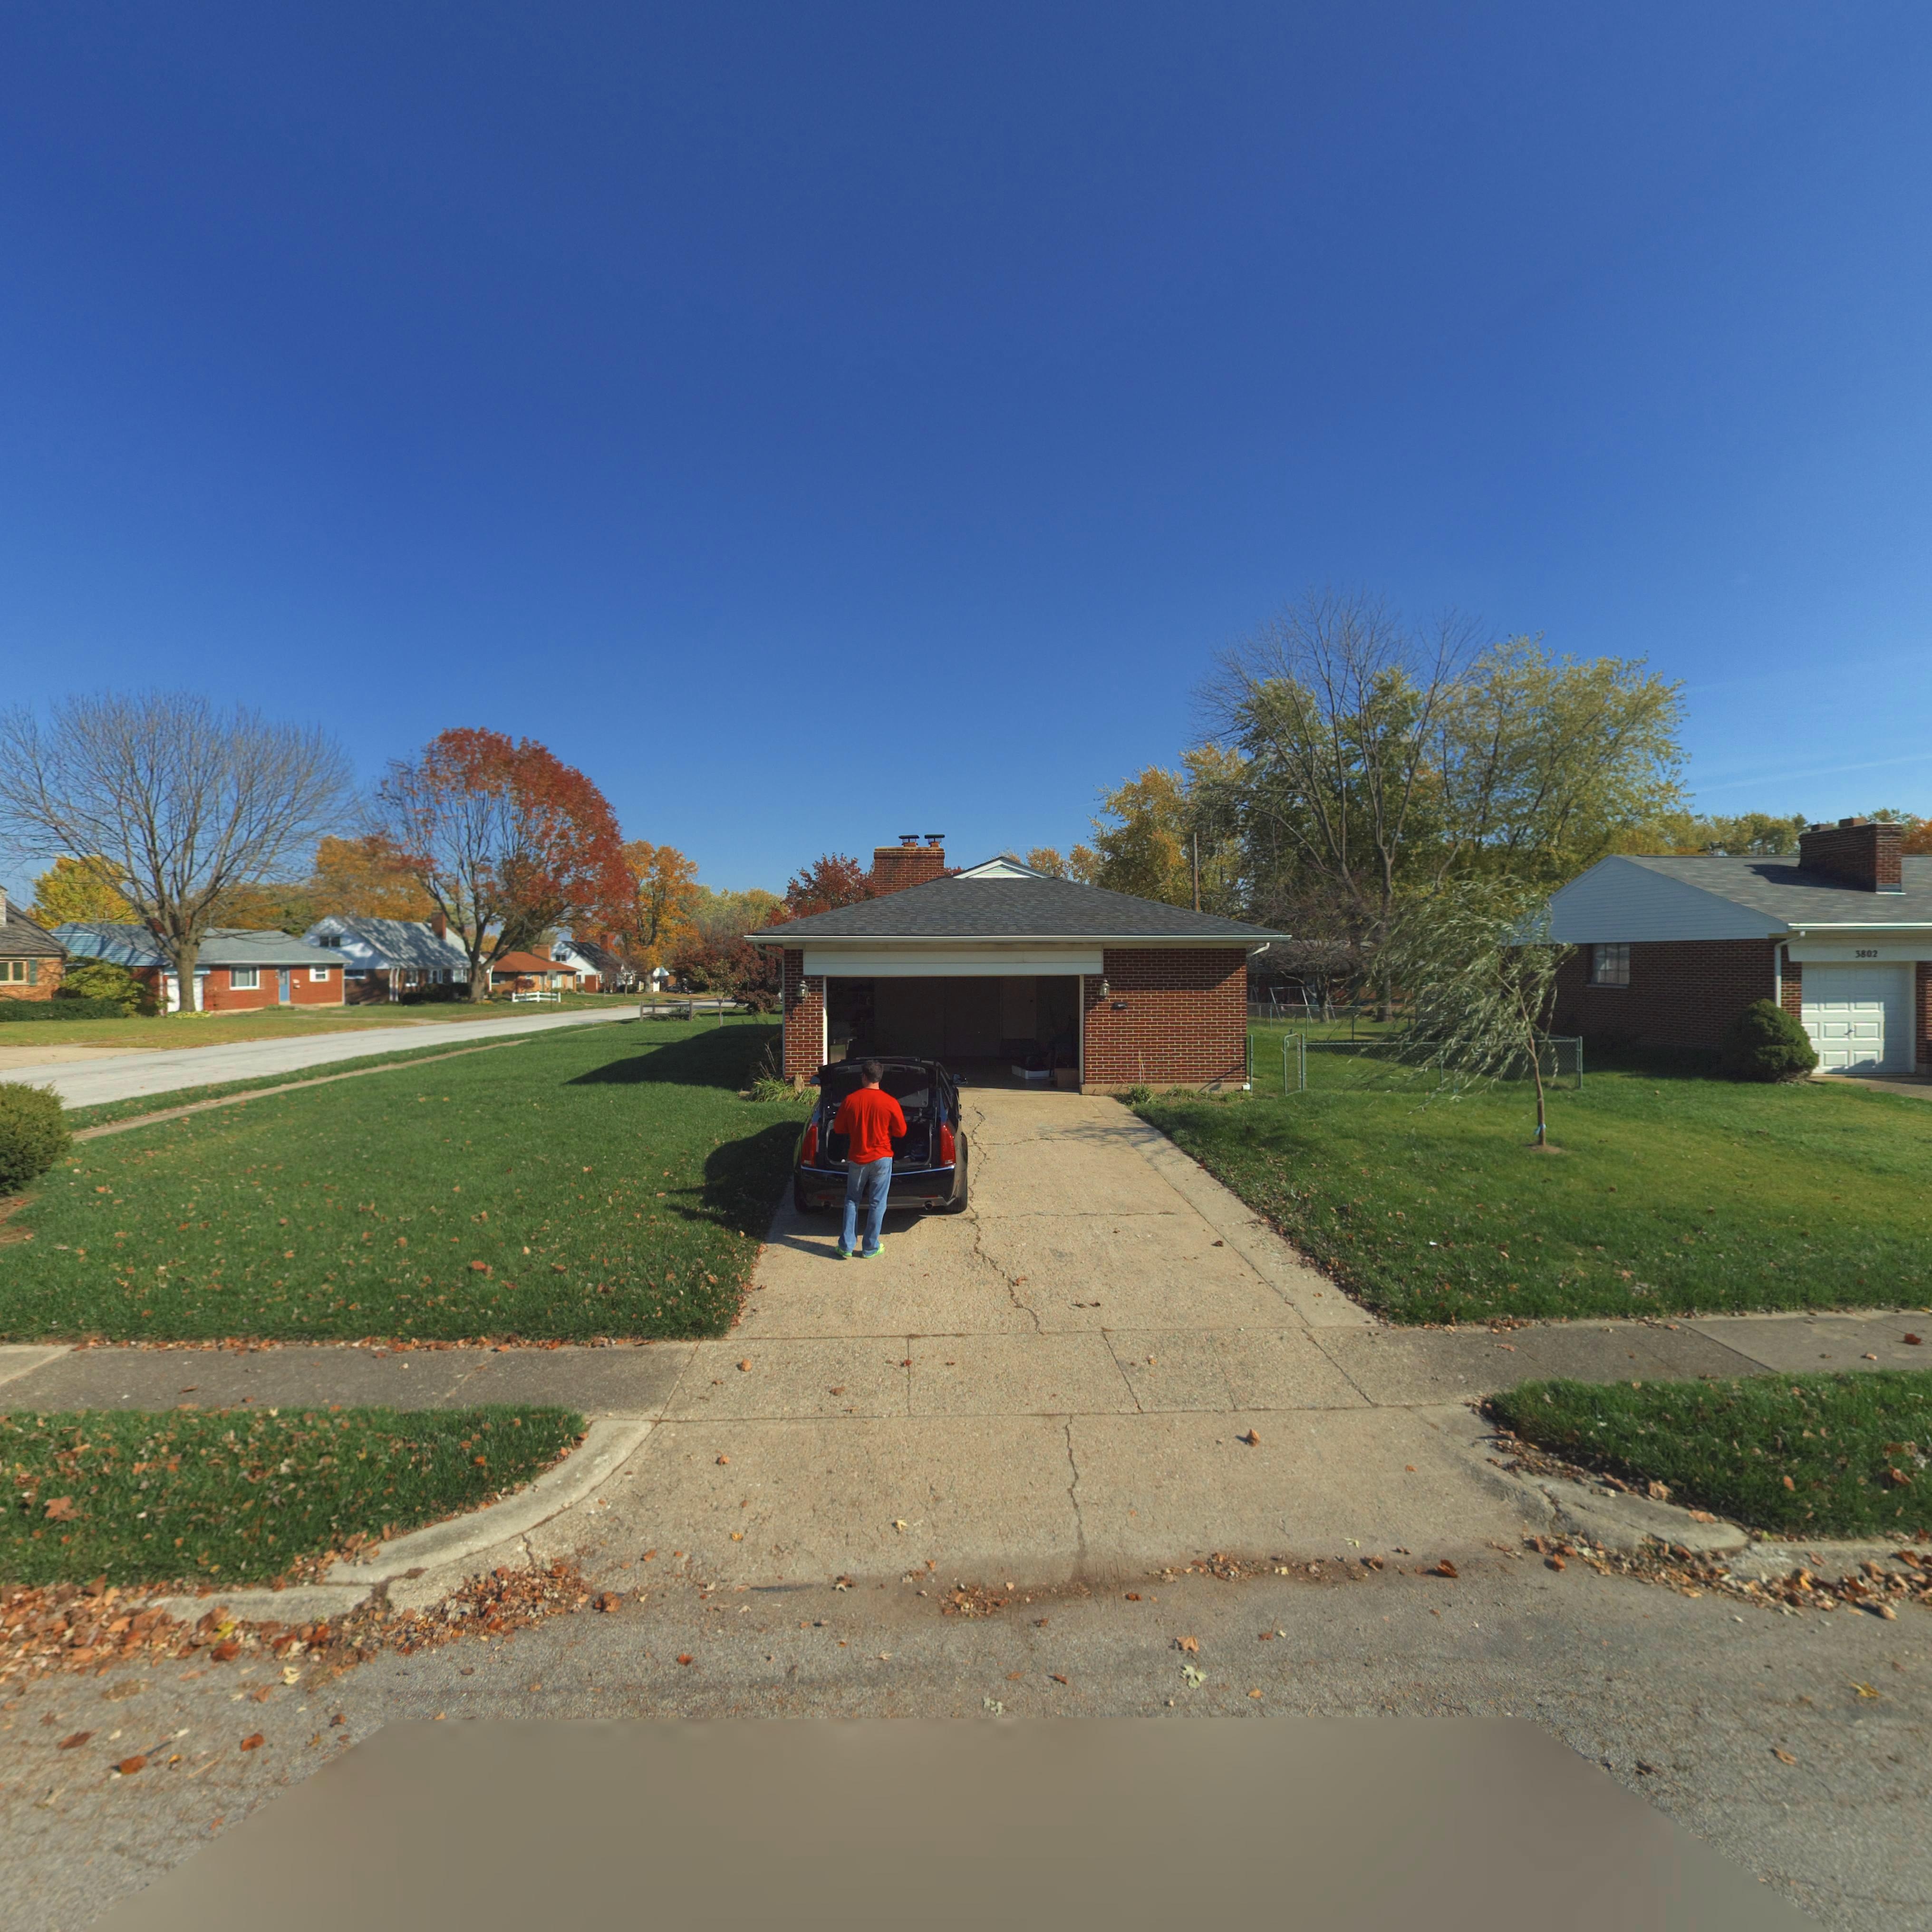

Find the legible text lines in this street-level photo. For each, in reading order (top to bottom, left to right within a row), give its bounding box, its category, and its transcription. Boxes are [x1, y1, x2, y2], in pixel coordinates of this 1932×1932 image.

[1855, 949, 1878, 958] StreetNumber: 3802